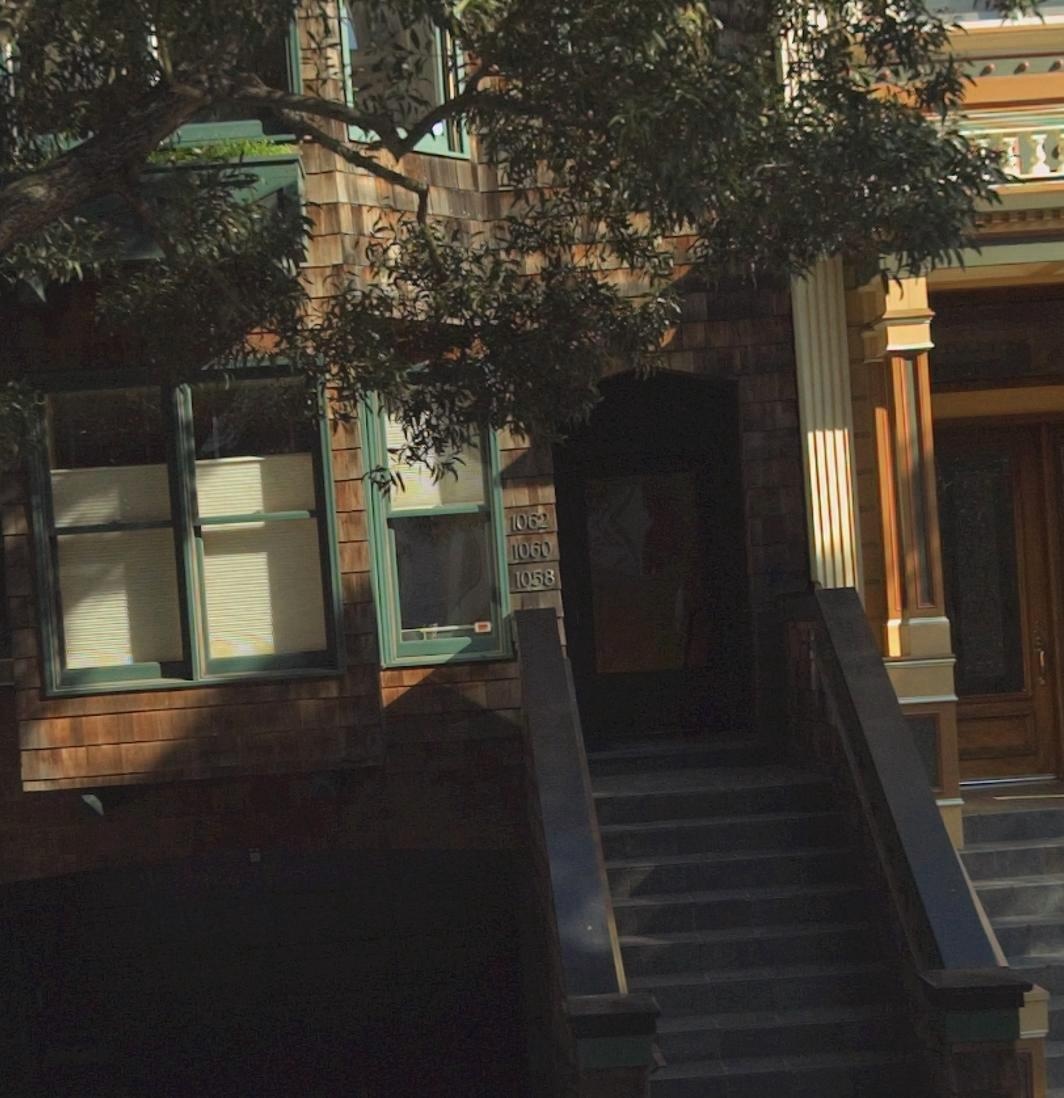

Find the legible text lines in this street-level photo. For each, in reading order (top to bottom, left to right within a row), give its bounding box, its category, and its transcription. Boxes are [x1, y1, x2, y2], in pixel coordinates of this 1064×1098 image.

[511, 511, 548, 532] StreetNumber: 1062
[513, 539, 553, 561] StreetNumber: 1060
[514, 566, 558, 590] StreetNumber: 1058